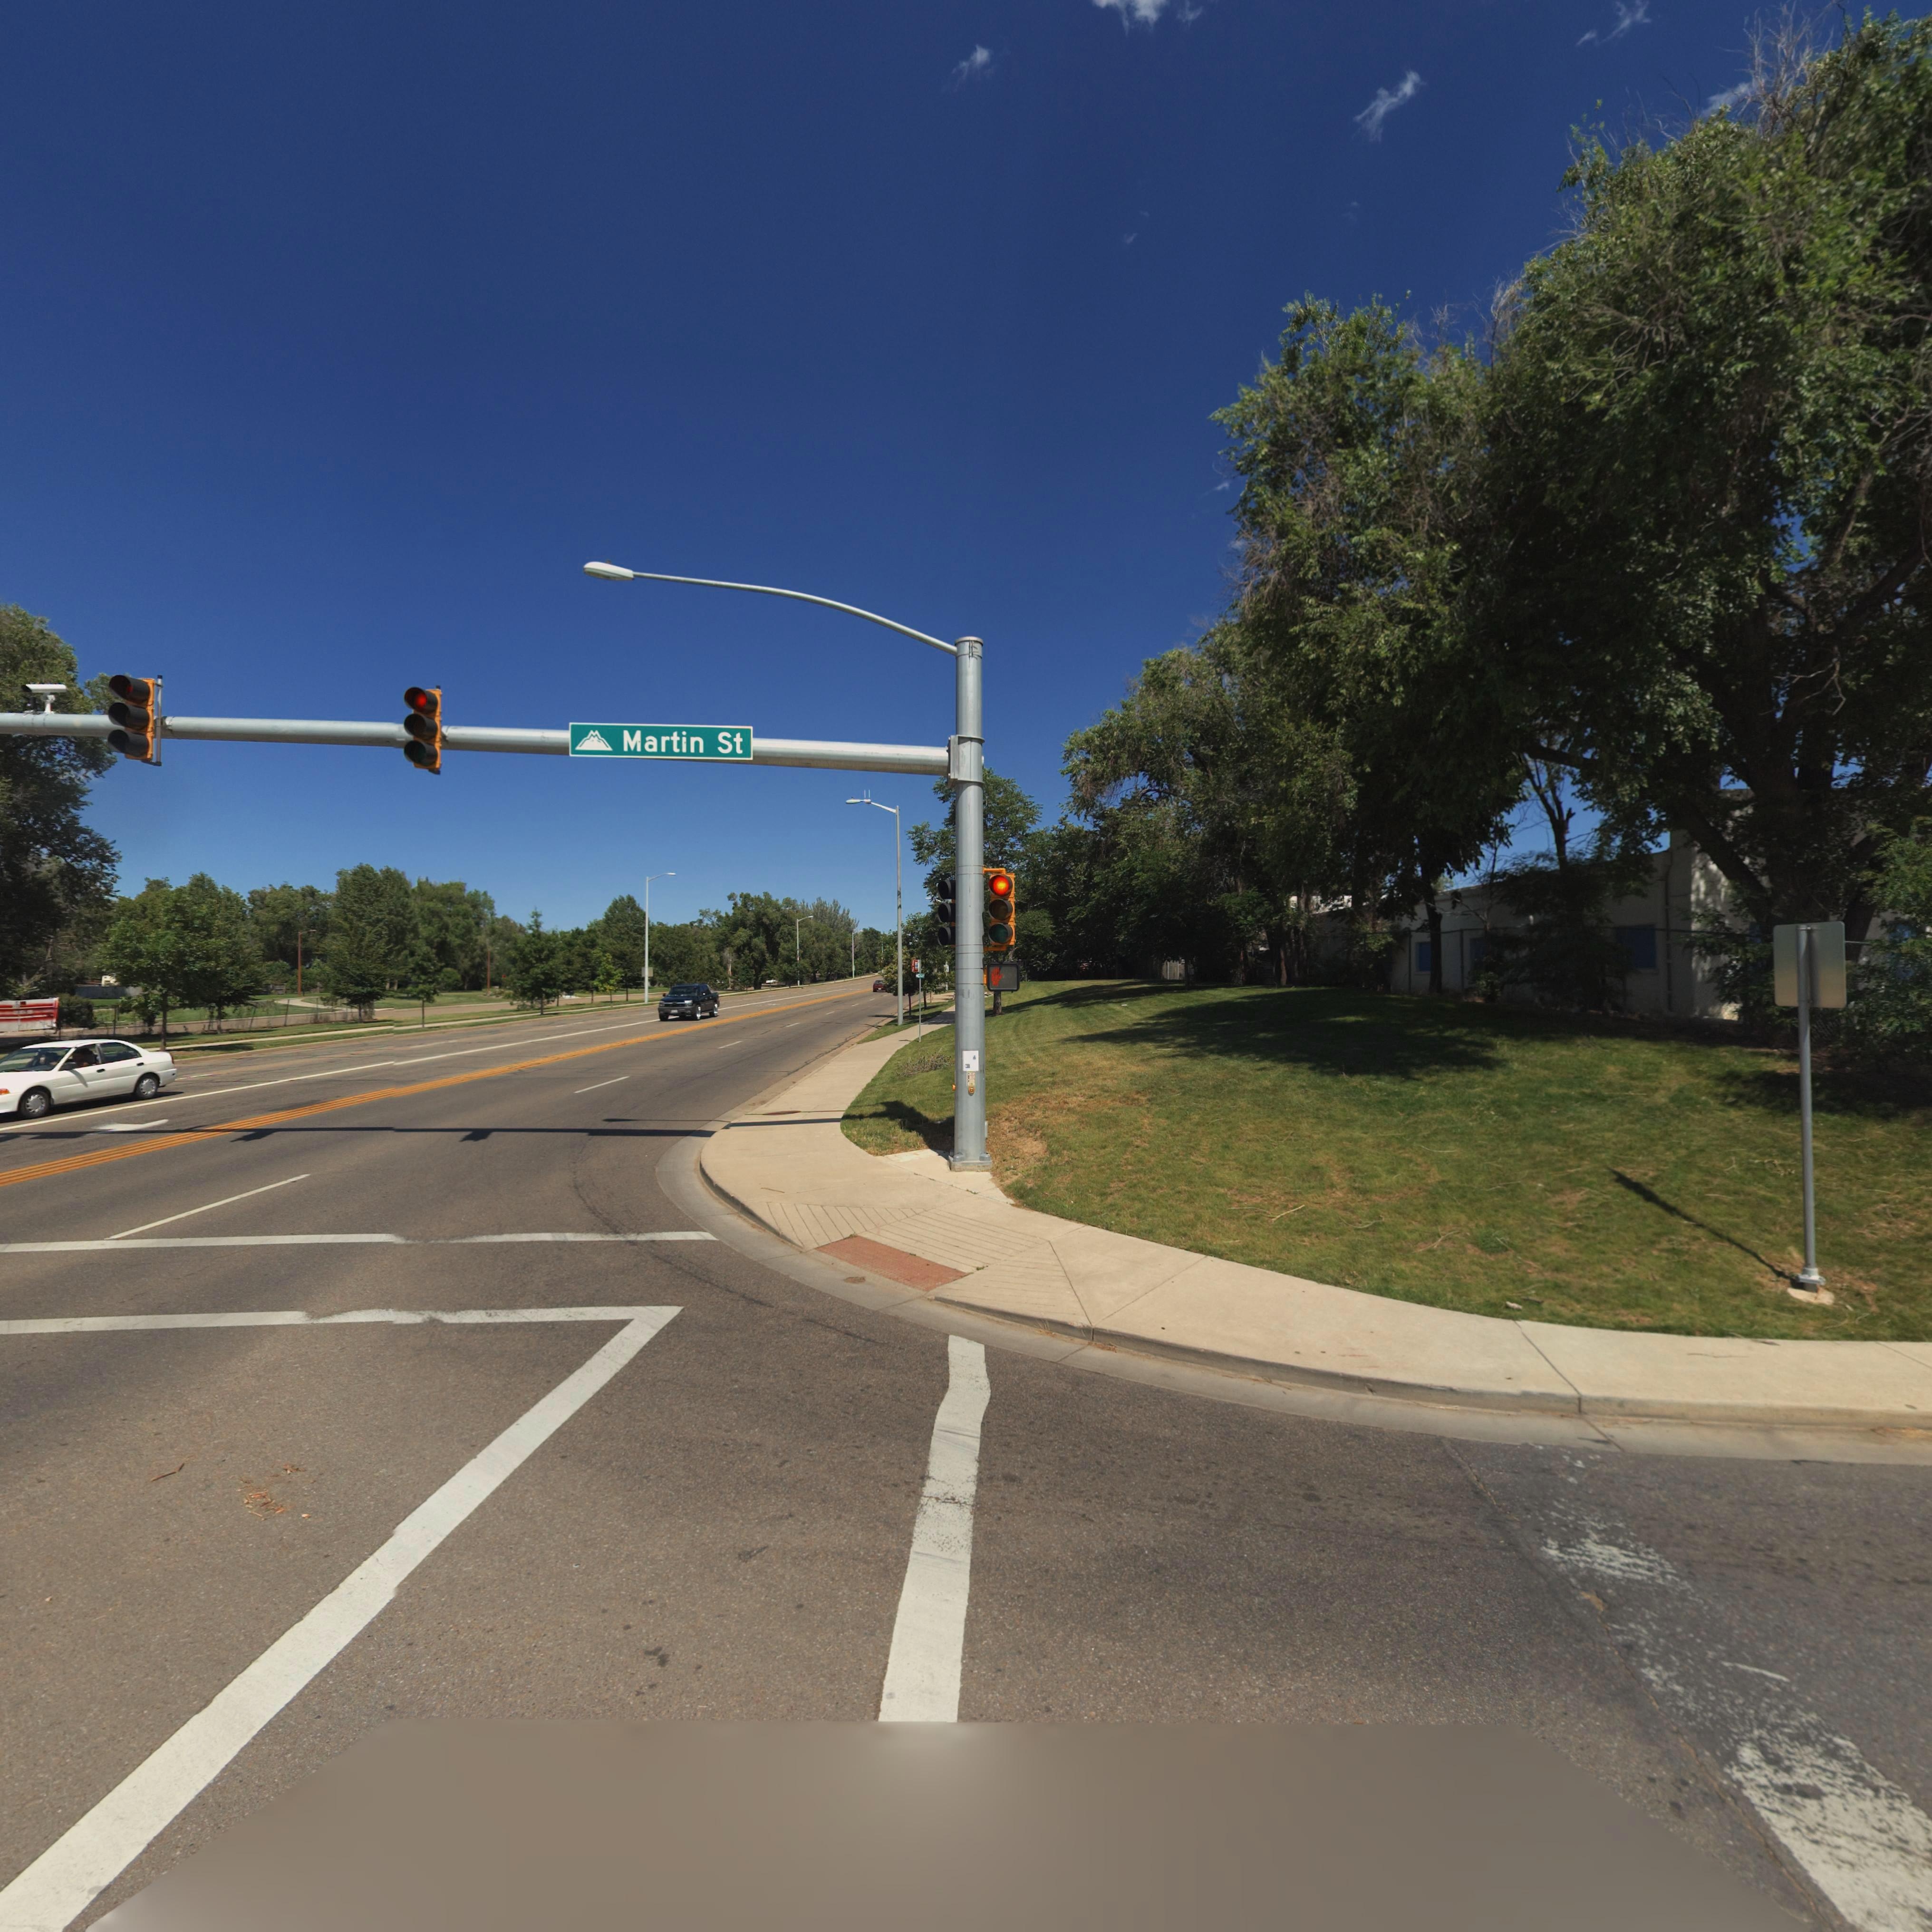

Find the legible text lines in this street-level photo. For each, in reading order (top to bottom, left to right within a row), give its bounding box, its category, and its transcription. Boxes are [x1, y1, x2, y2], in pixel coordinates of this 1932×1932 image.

[622, 729, 744, 754] StreetName: Martin St